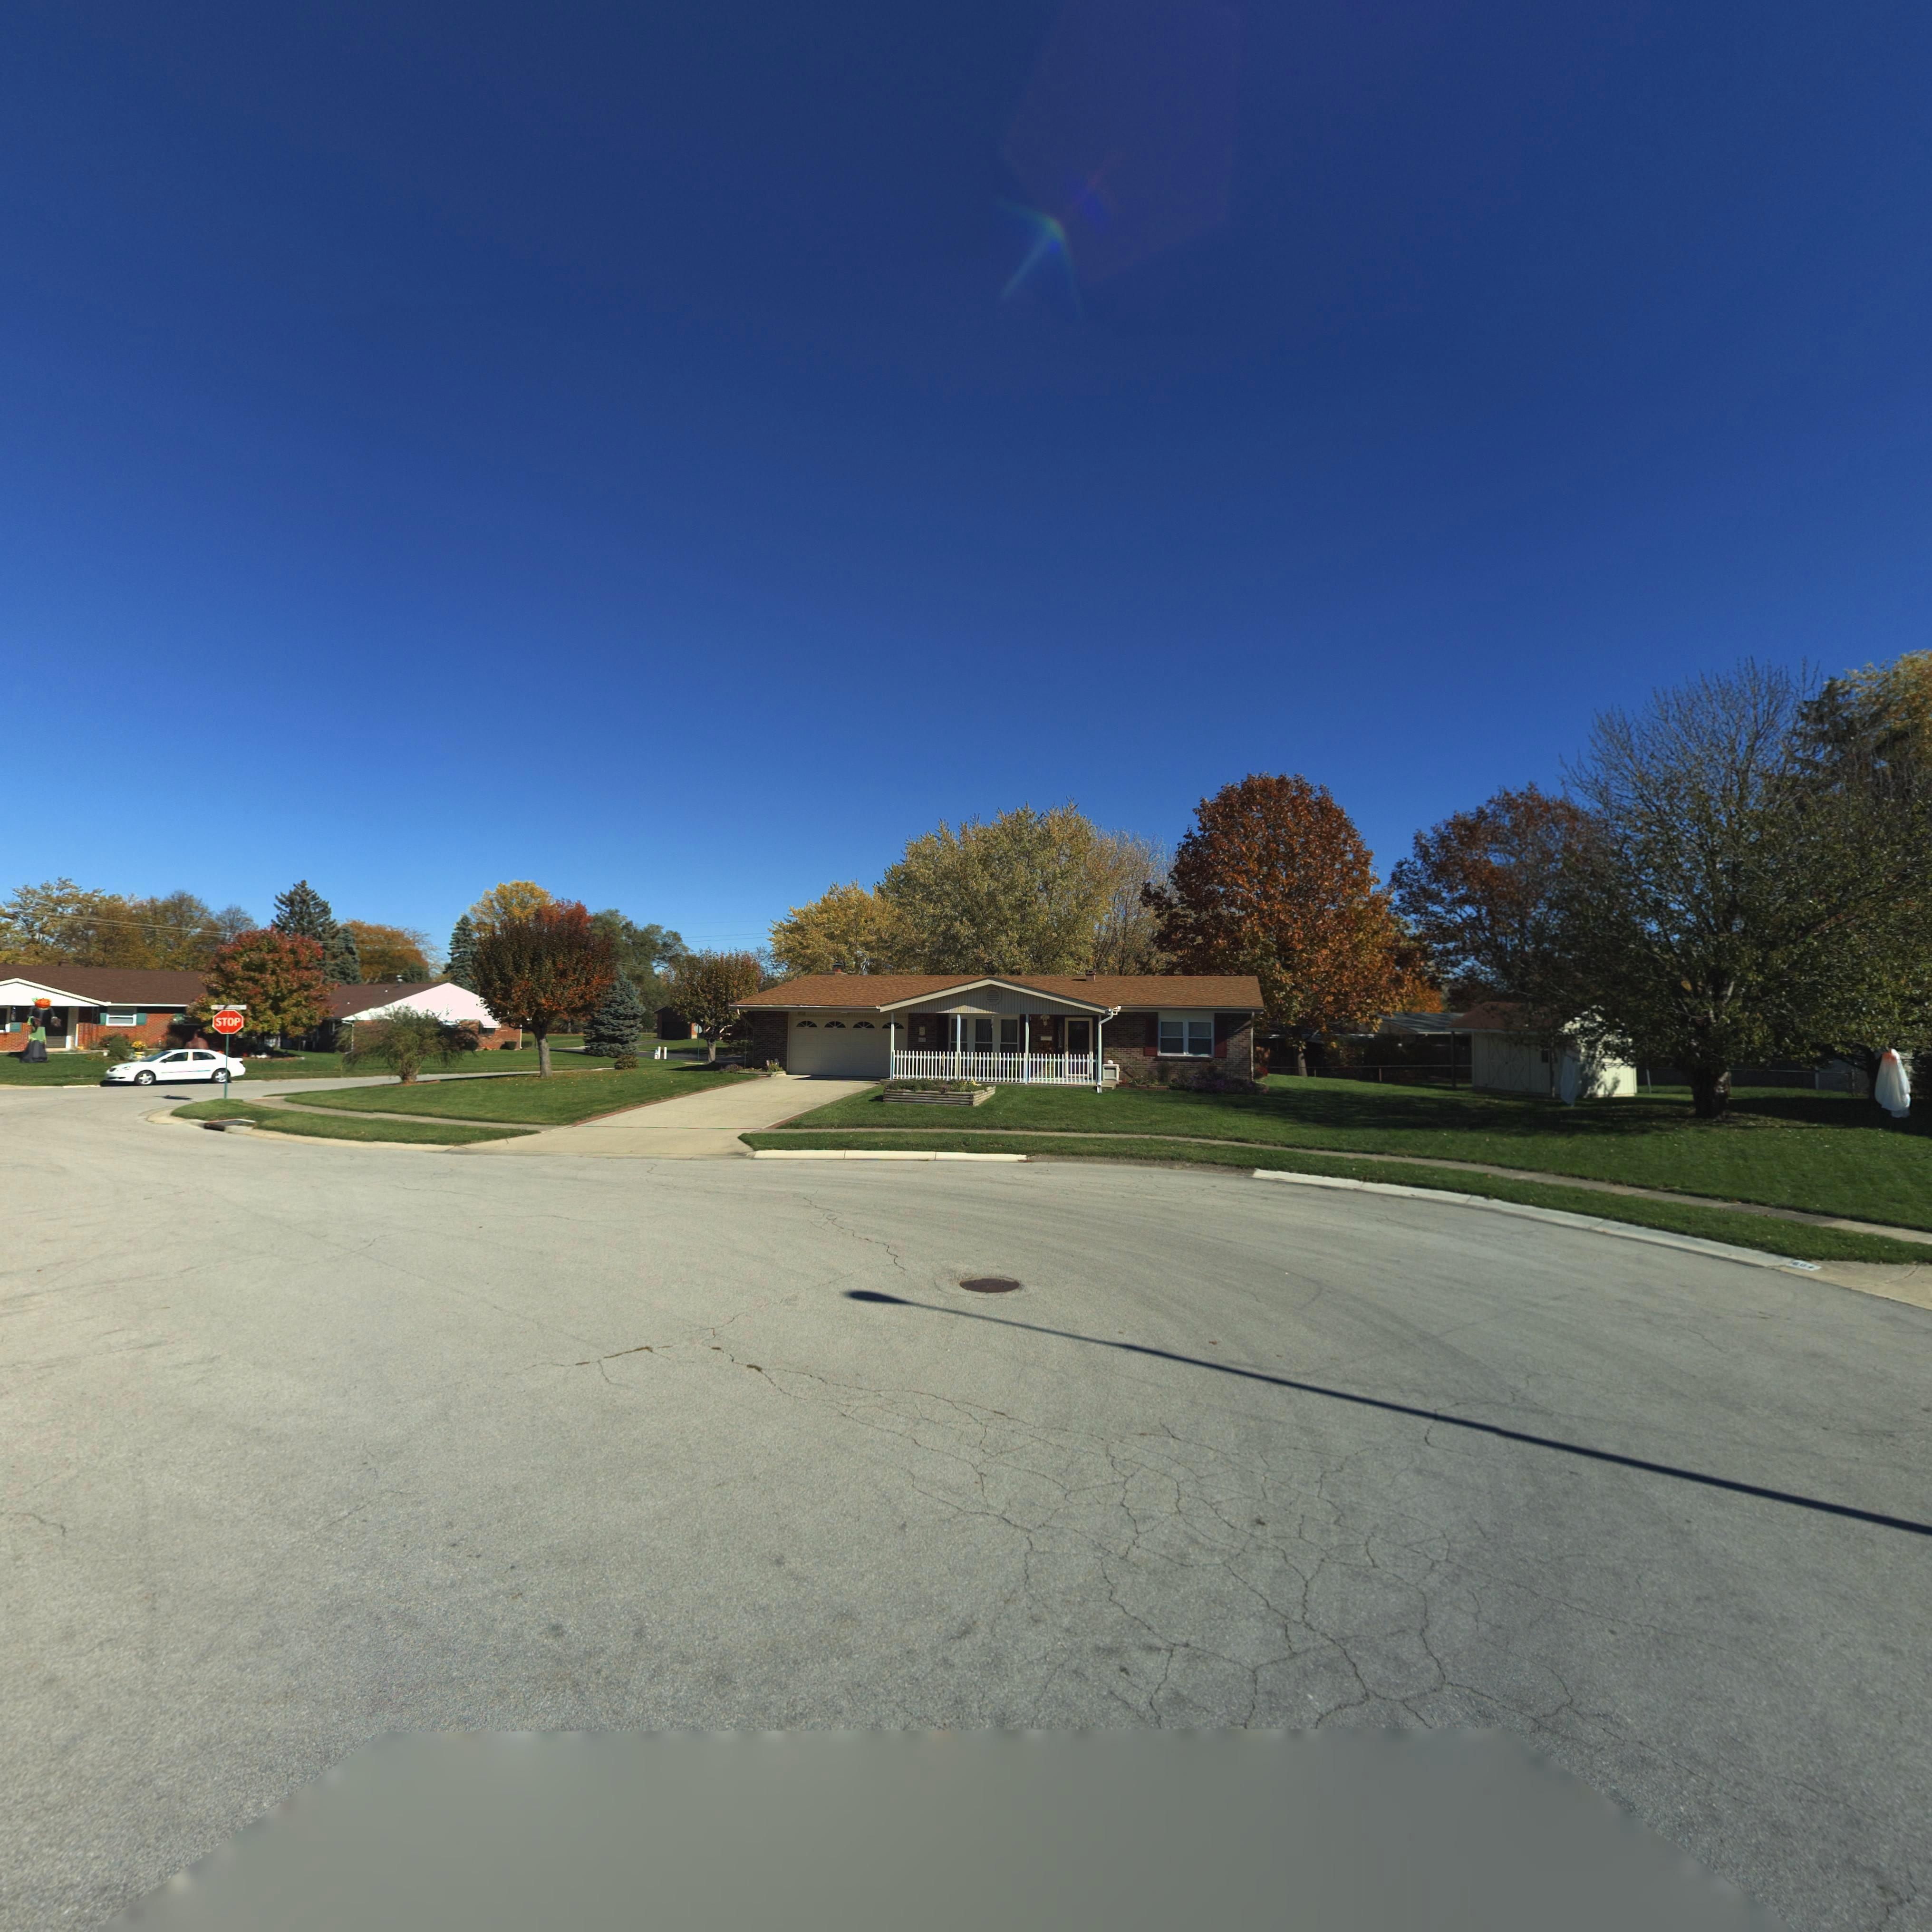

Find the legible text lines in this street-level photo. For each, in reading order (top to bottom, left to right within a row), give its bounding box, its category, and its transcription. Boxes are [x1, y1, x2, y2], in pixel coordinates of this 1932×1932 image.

[797, 1011, 806, 1015] StreetNumber: **2
[1791, 1261, 1816, 1270] StreetNumber: 604